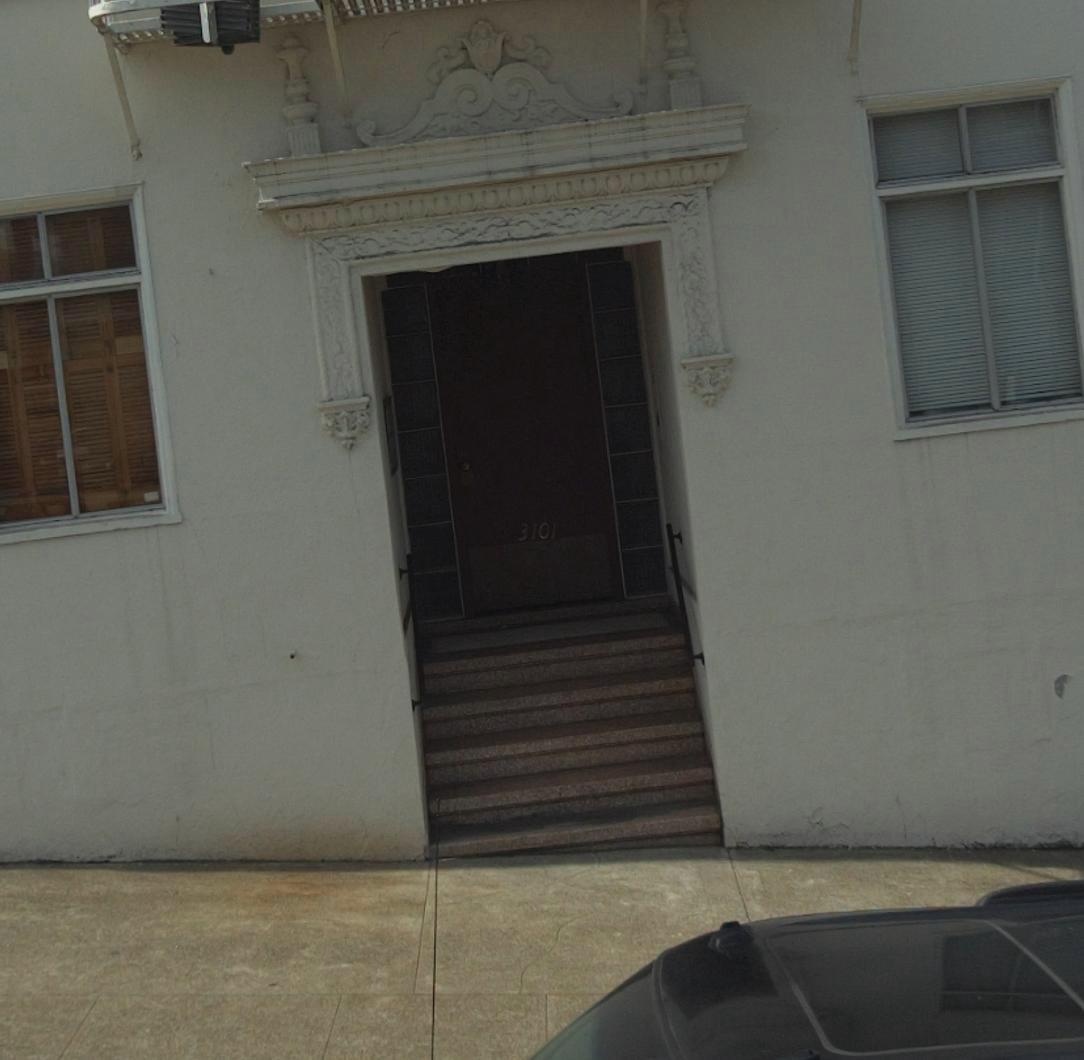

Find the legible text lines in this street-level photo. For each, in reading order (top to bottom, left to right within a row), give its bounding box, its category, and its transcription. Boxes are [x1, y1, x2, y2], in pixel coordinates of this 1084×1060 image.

[515, 519, 561, 544] StreetNumber: 3101